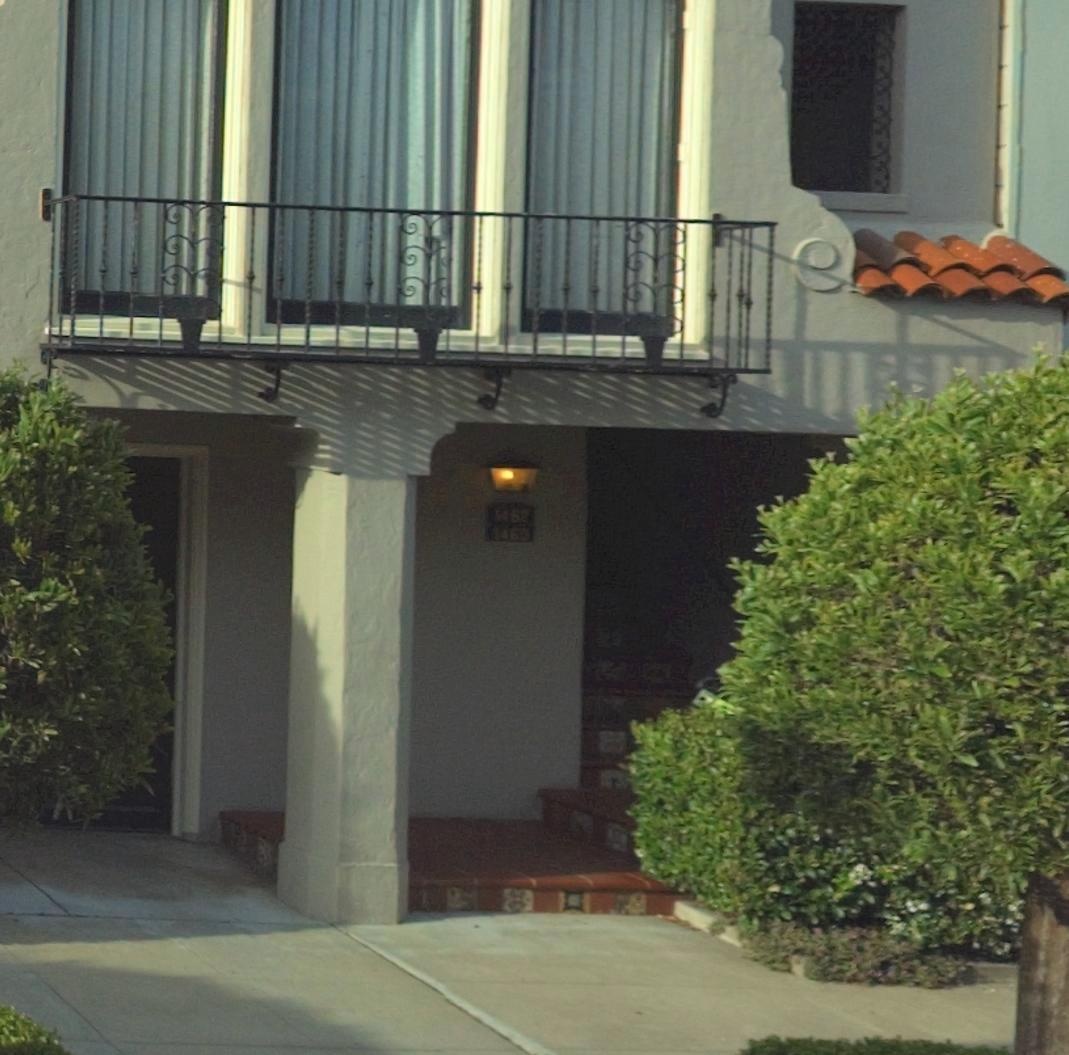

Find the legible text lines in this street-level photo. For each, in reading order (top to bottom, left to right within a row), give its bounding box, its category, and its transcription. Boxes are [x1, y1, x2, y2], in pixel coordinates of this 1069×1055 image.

[492, 507, 531, 525] StreetNumber: 1462
[492, 526, 531, 543] StreetNumber: 1460